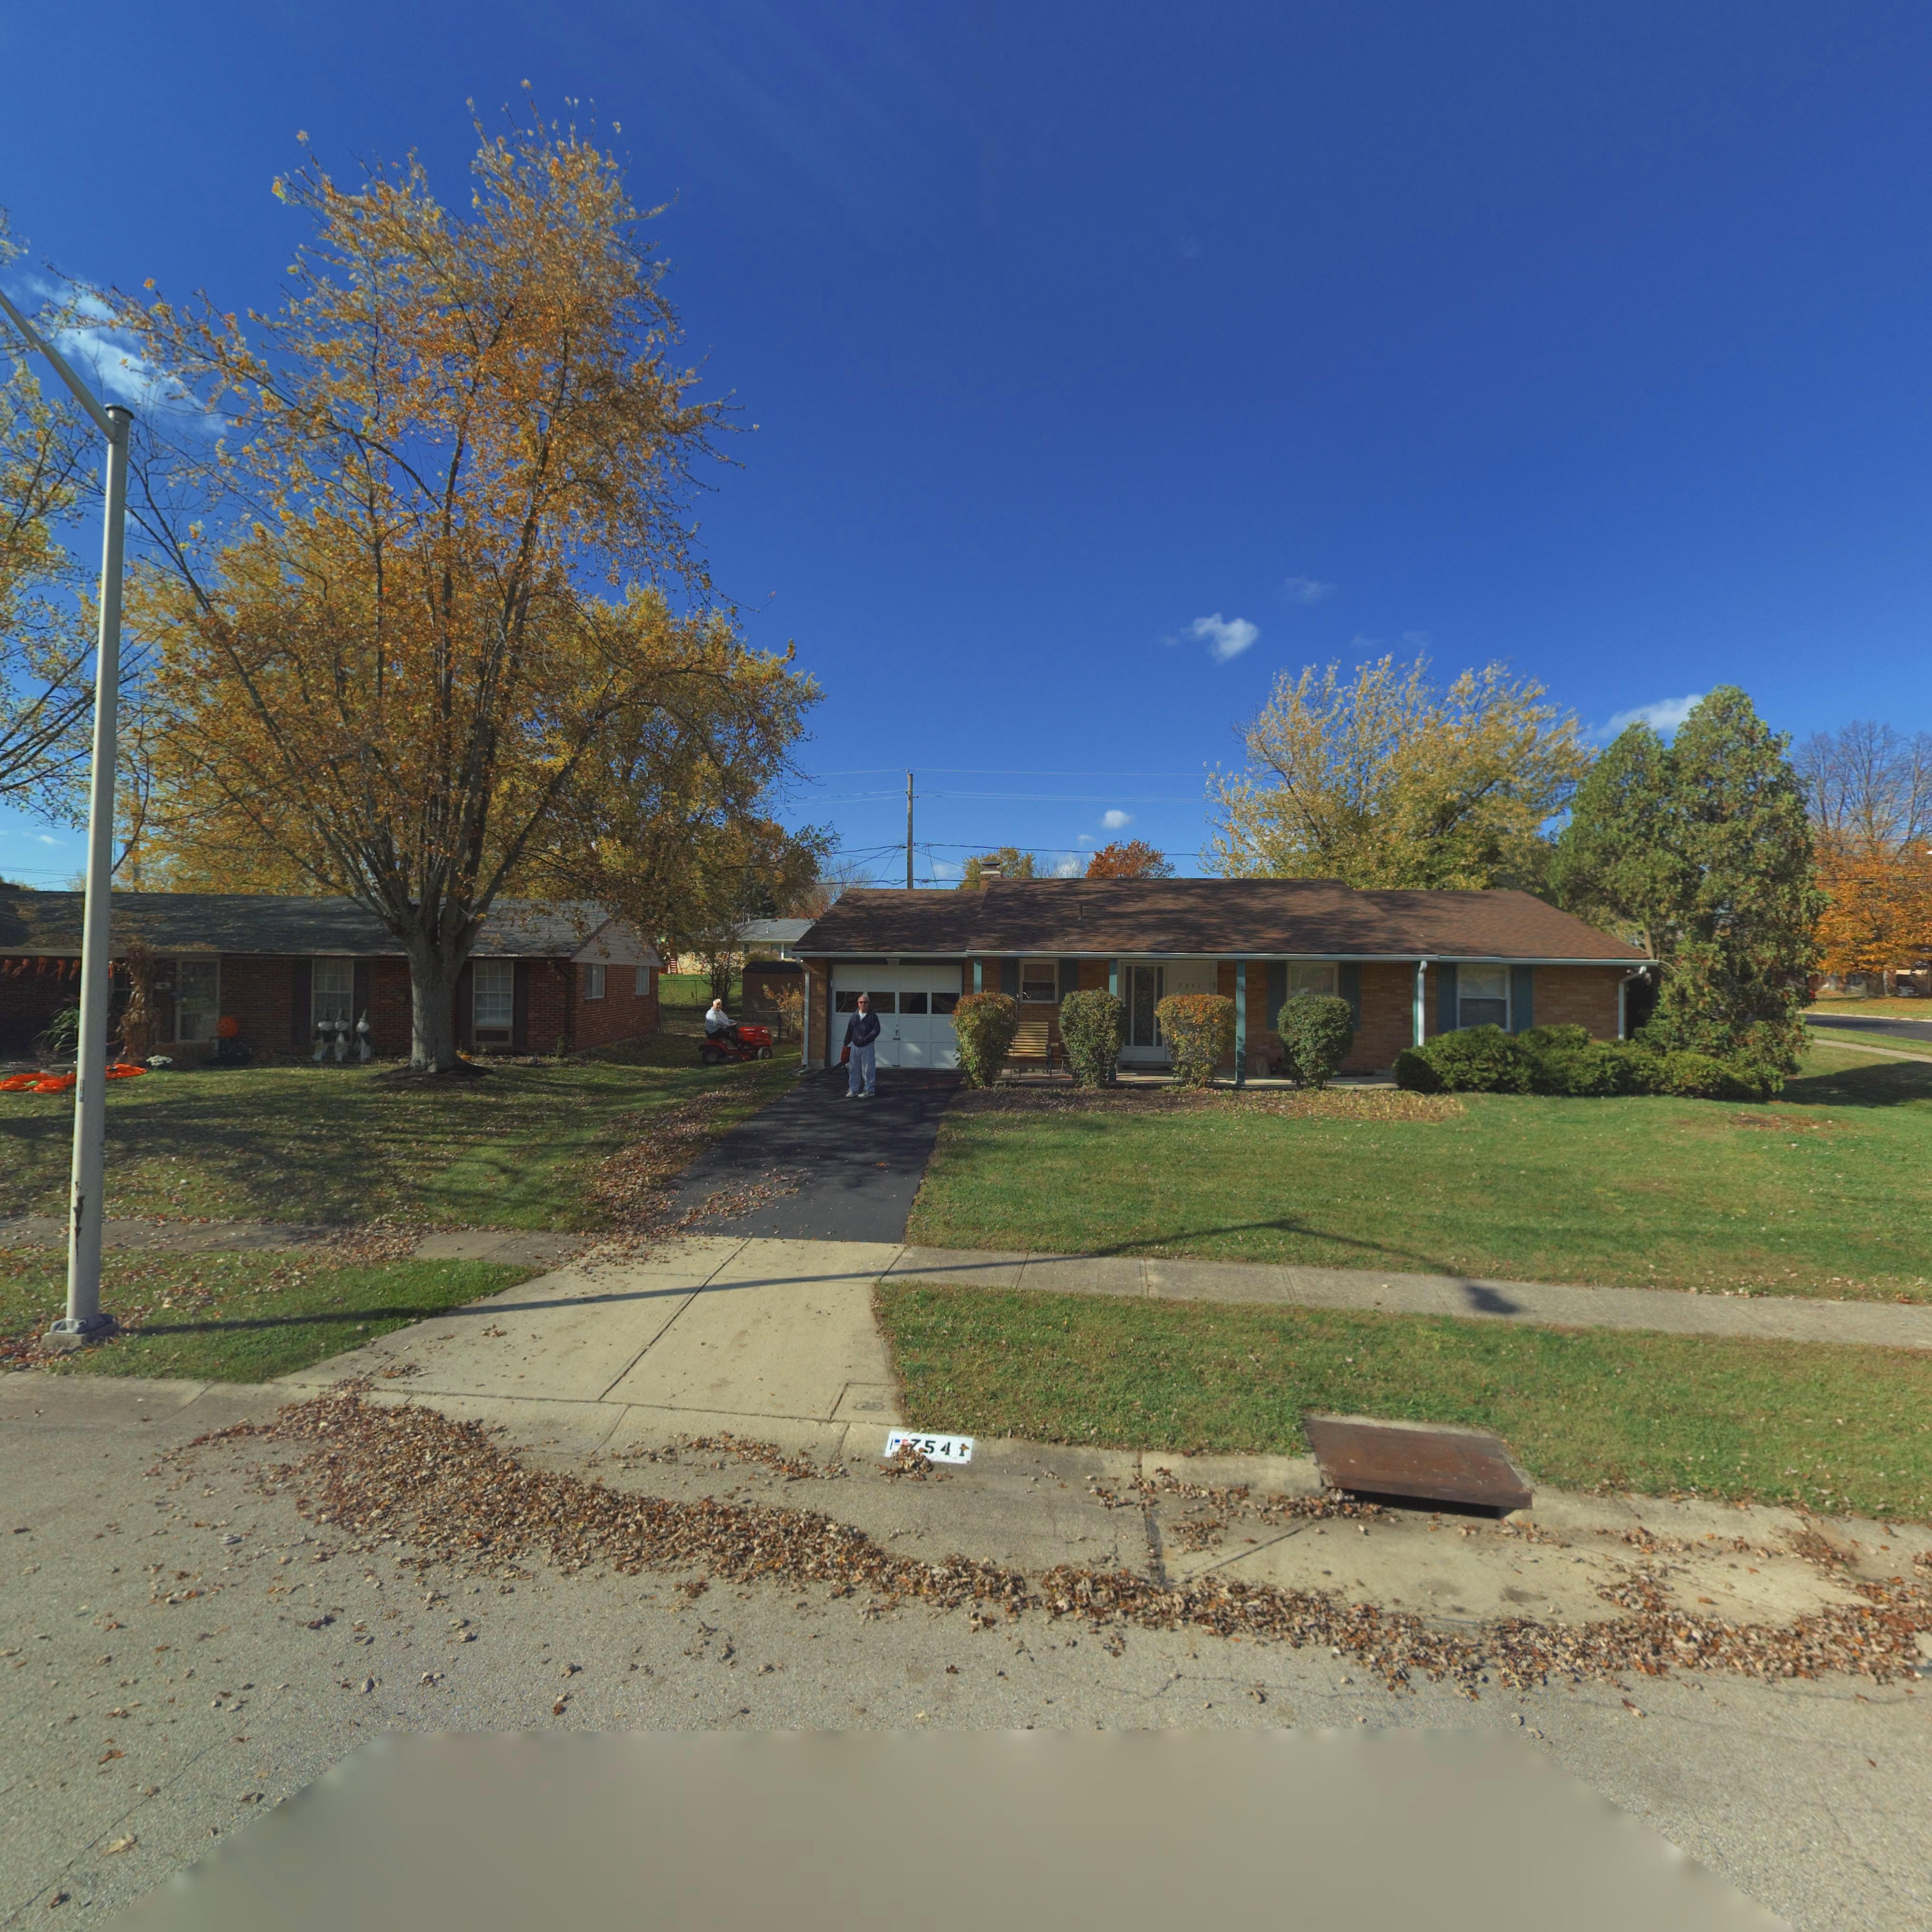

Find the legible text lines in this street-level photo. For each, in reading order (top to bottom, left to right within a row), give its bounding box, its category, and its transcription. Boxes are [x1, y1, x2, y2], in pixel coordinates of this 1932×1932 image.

[1177, 982, 1202, 990] StreetNumber: 75*1
[907, 1437, 967, 1459] StreetNumber: *54*